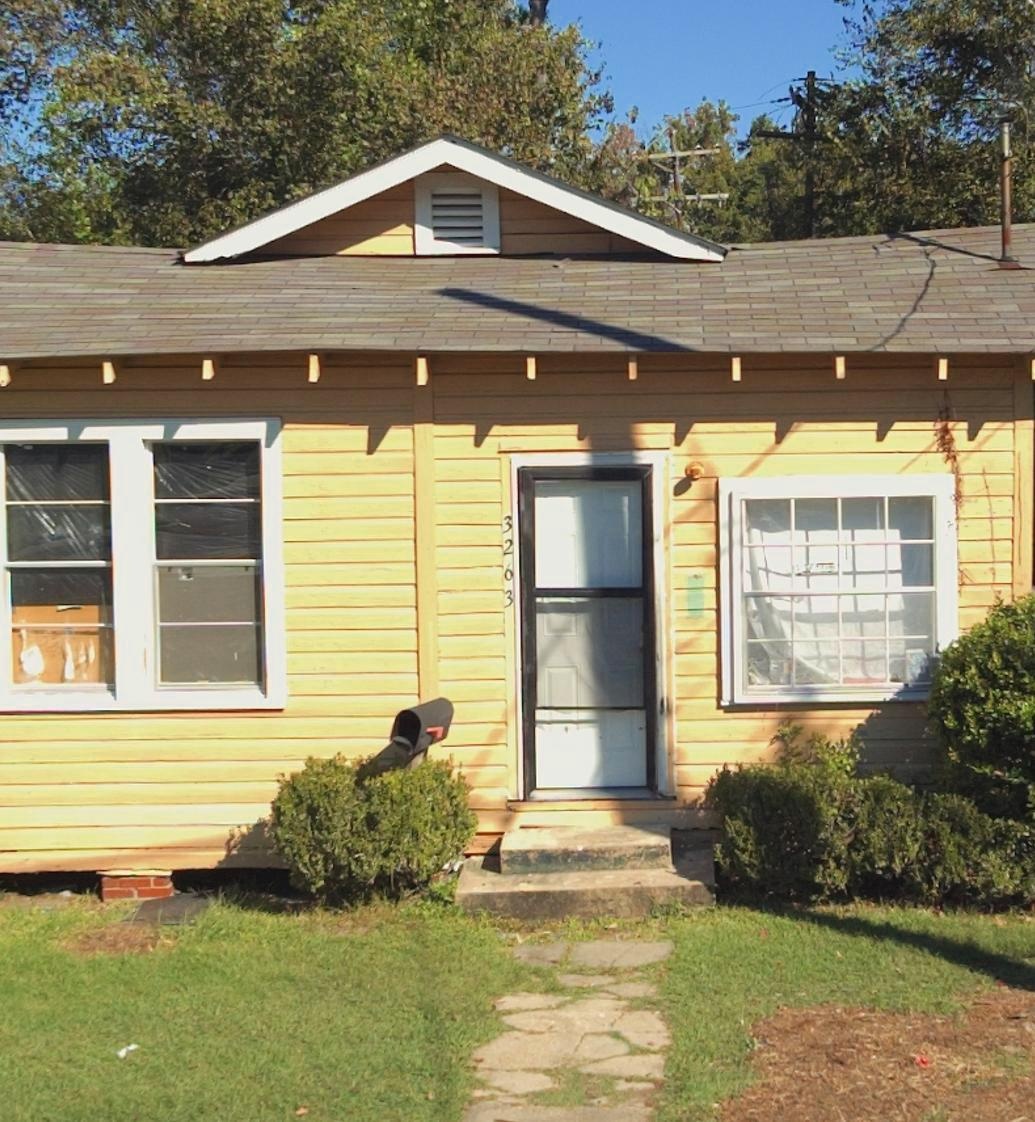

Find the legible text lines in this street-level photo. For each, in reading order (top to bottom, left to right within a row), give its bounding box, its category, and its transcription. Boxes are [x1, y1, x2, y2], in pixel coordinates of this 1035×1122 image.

[500, 512, 516, 611] StreetNumber: 3263